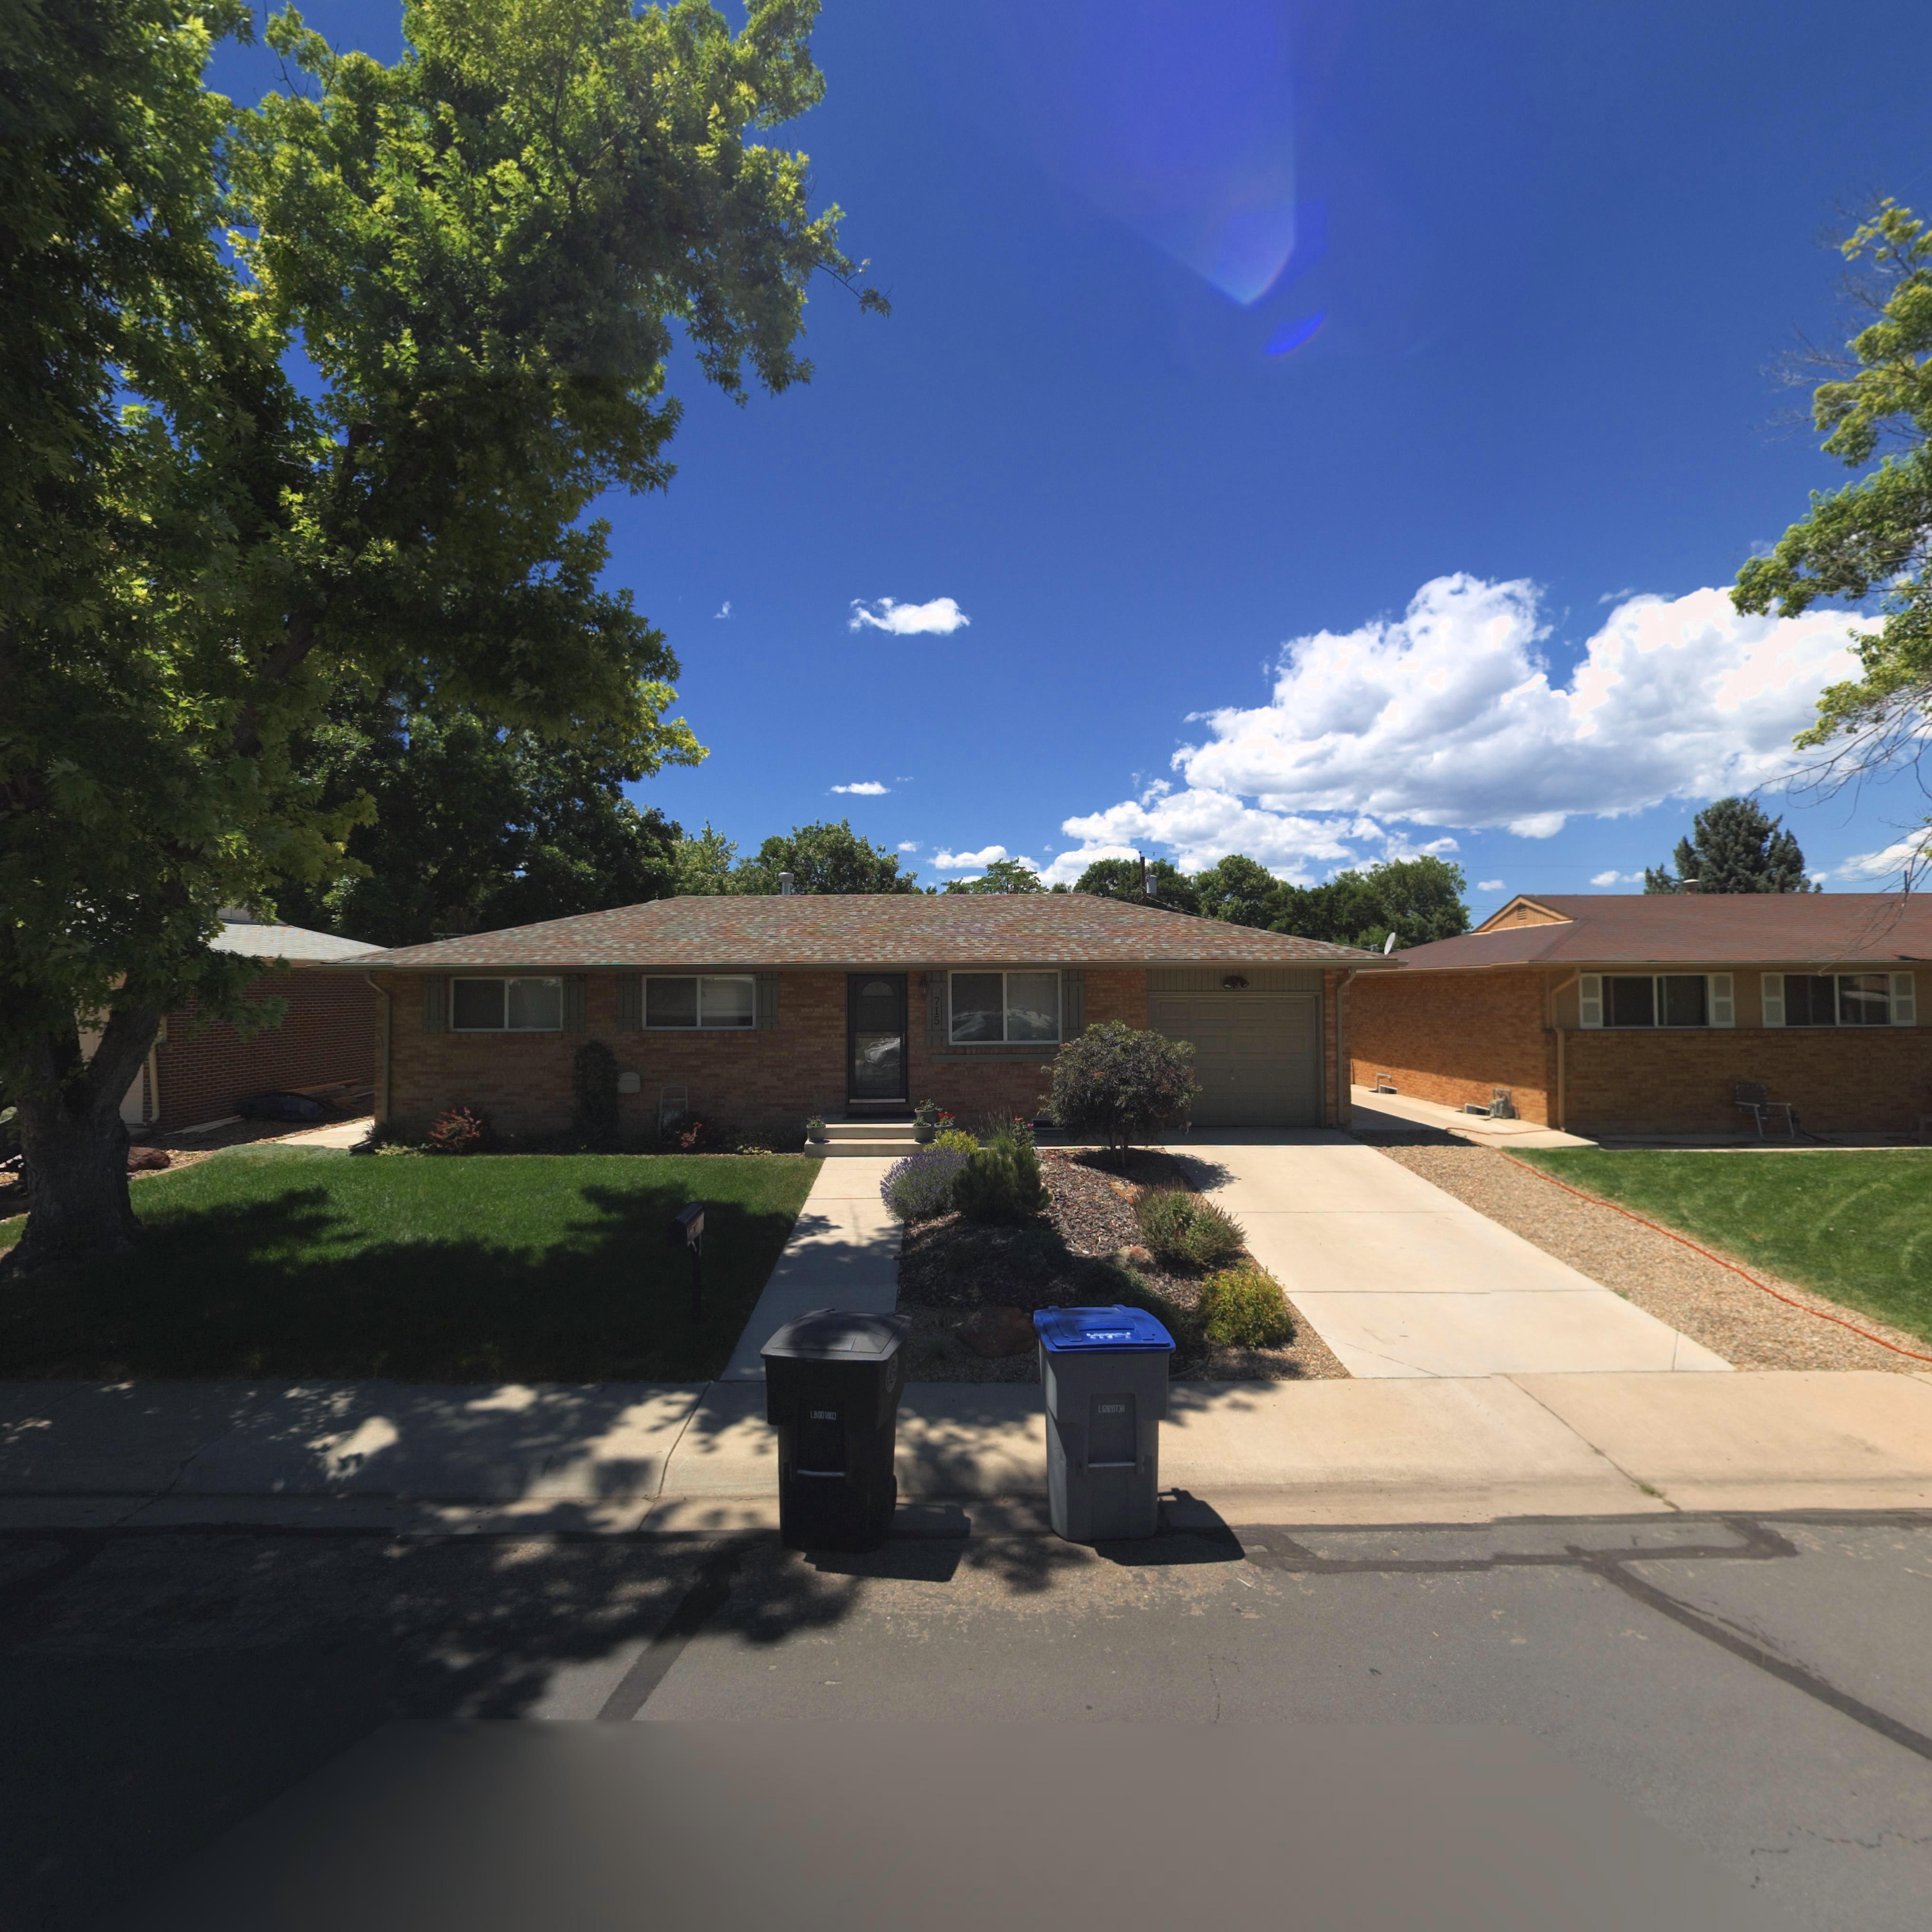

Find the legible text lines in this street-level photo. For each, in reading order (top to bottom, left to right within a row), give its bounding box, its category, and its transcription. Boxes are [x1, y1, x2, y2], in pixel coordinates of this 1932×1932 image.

[933, 996, 940, 1025] StreetNumber: 715